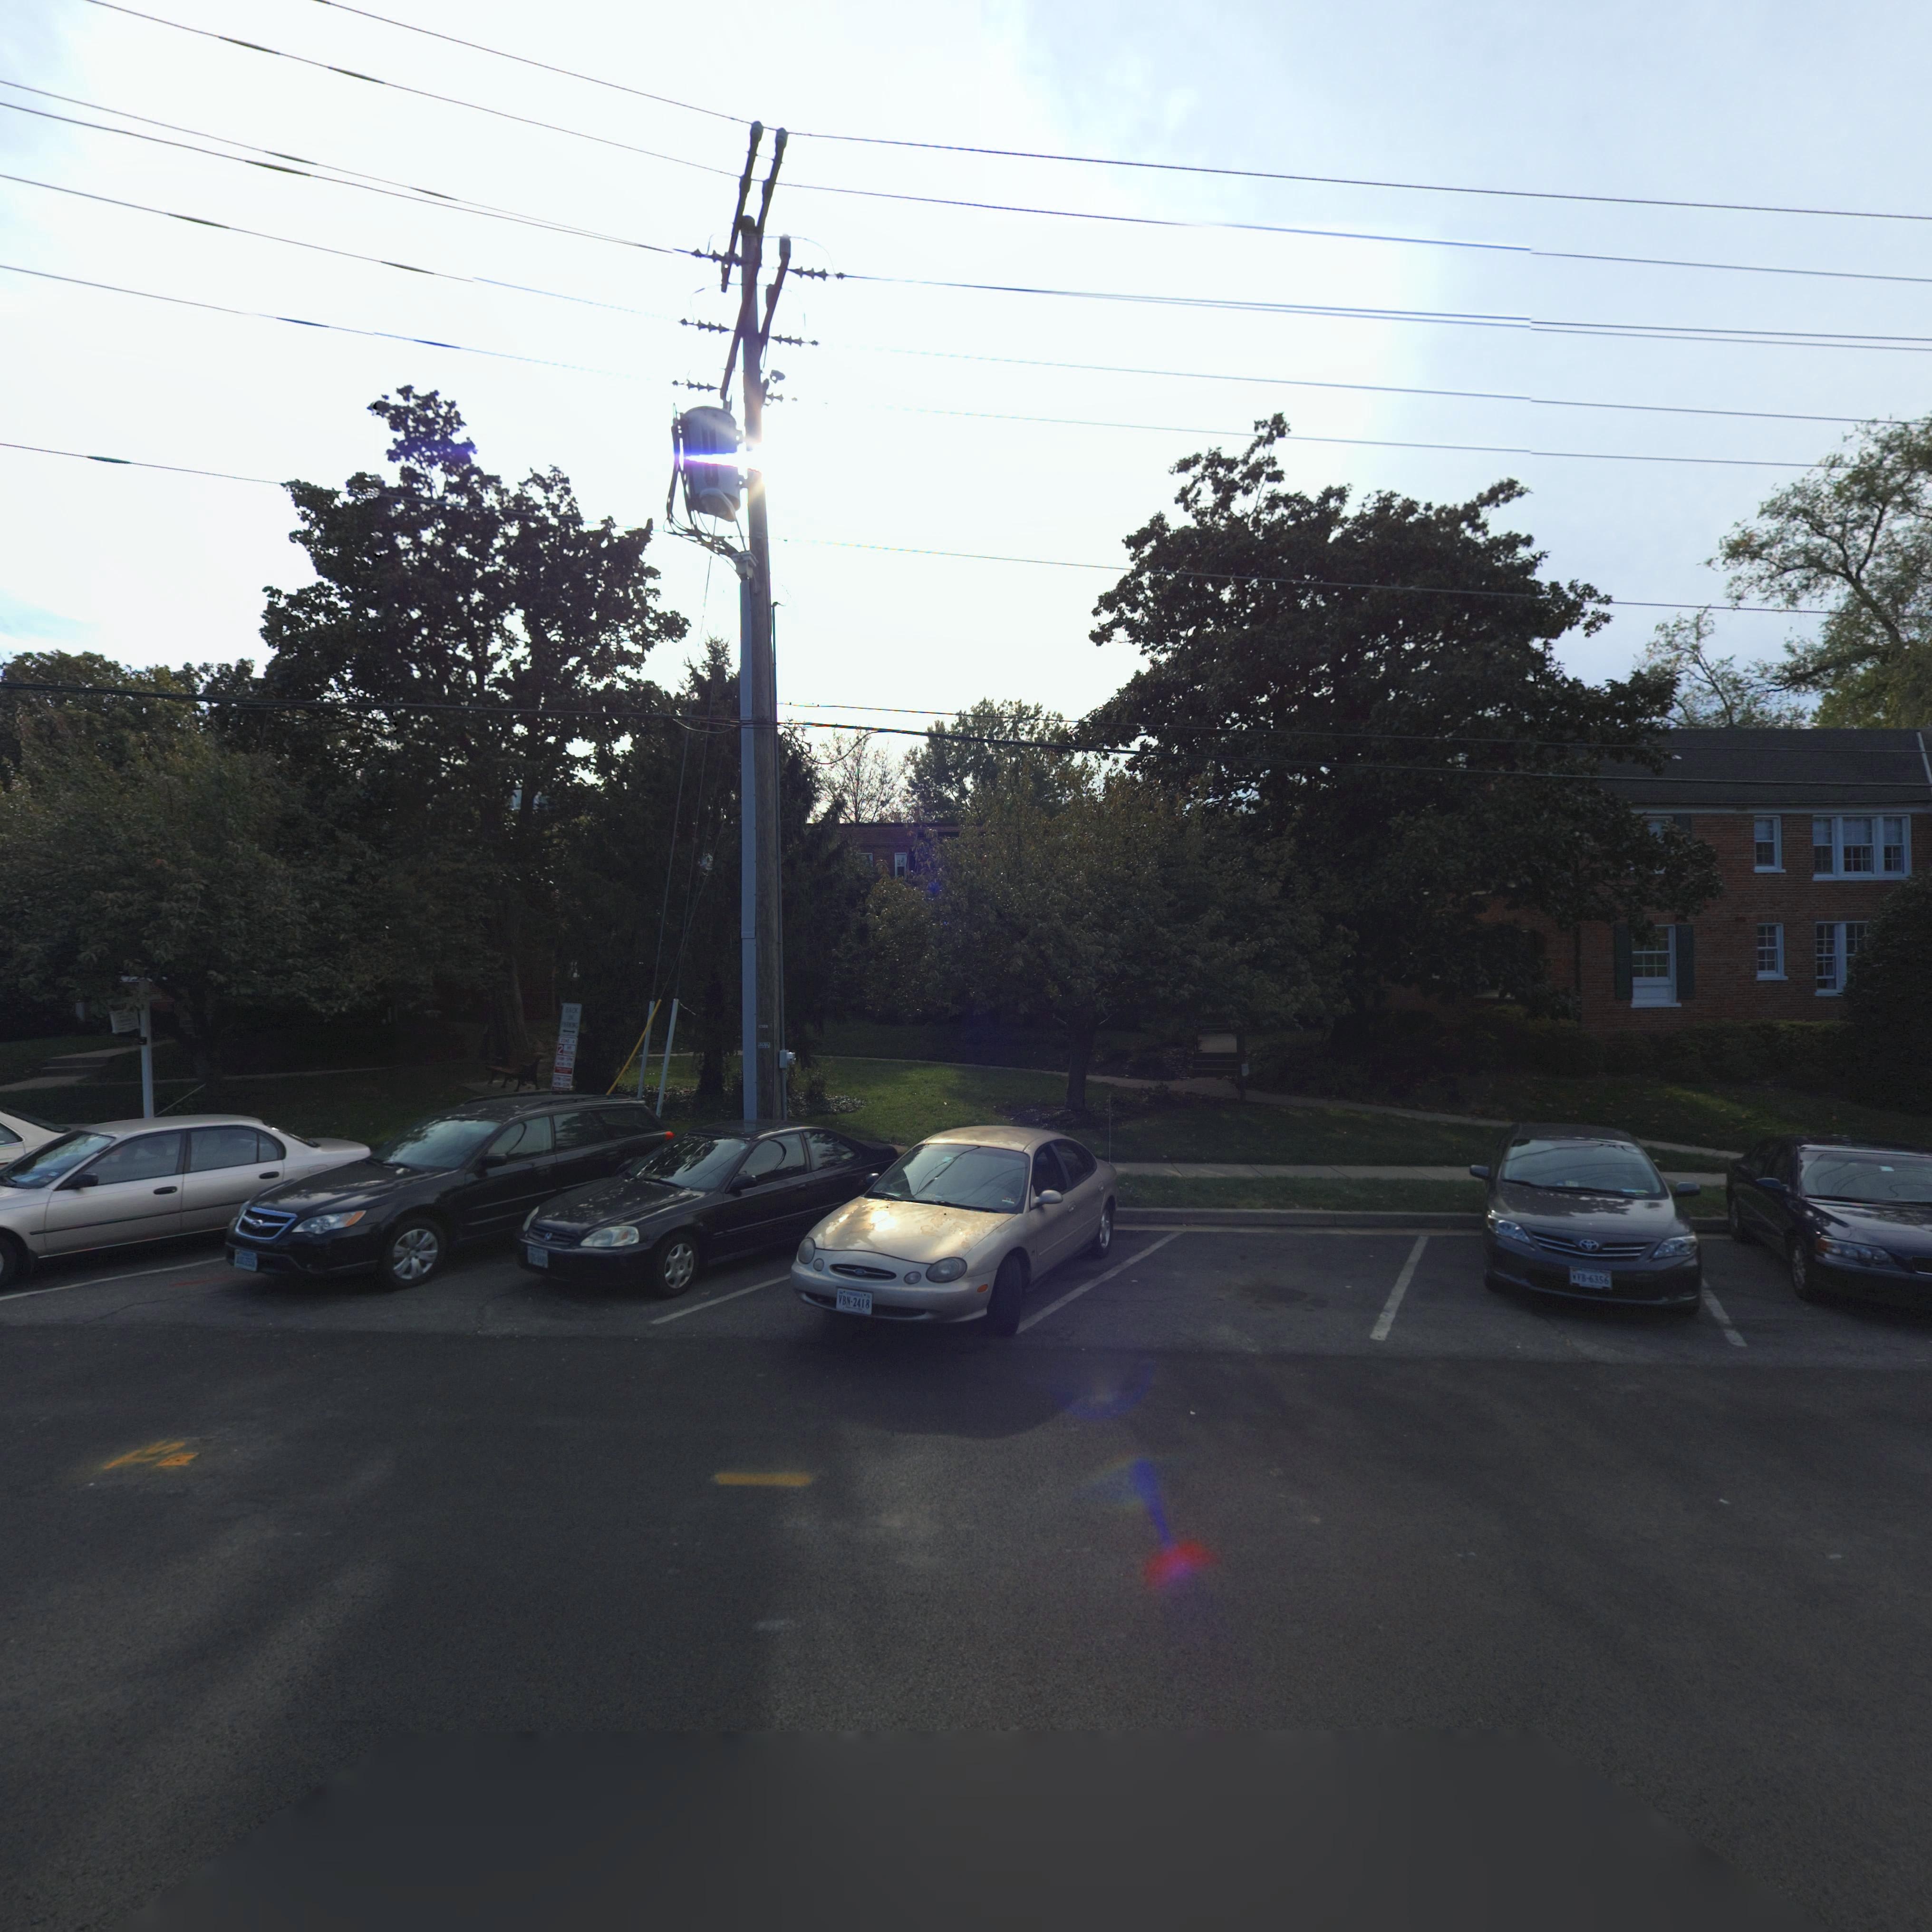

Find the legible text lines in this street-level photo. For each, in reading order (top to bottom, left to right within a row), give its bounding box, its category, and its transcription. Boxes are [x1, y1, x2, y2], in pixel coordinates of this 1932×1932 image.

[564, 1006, 579, 1014] None: BACK
[568, 1015, 574, 1021] None: IN
[560, 1021, 579, 1029] None: PARKING
[557, 1044, 564, 1055] None: 2
[1572, 1272, 1609, 1285] None: *VB*6356
[846, 1290, 863, 1298] None: VIRGINIA
[839, 1294, 870, 1309] None: VBN*2418
[101, 1438, 190, 1471] None: T3